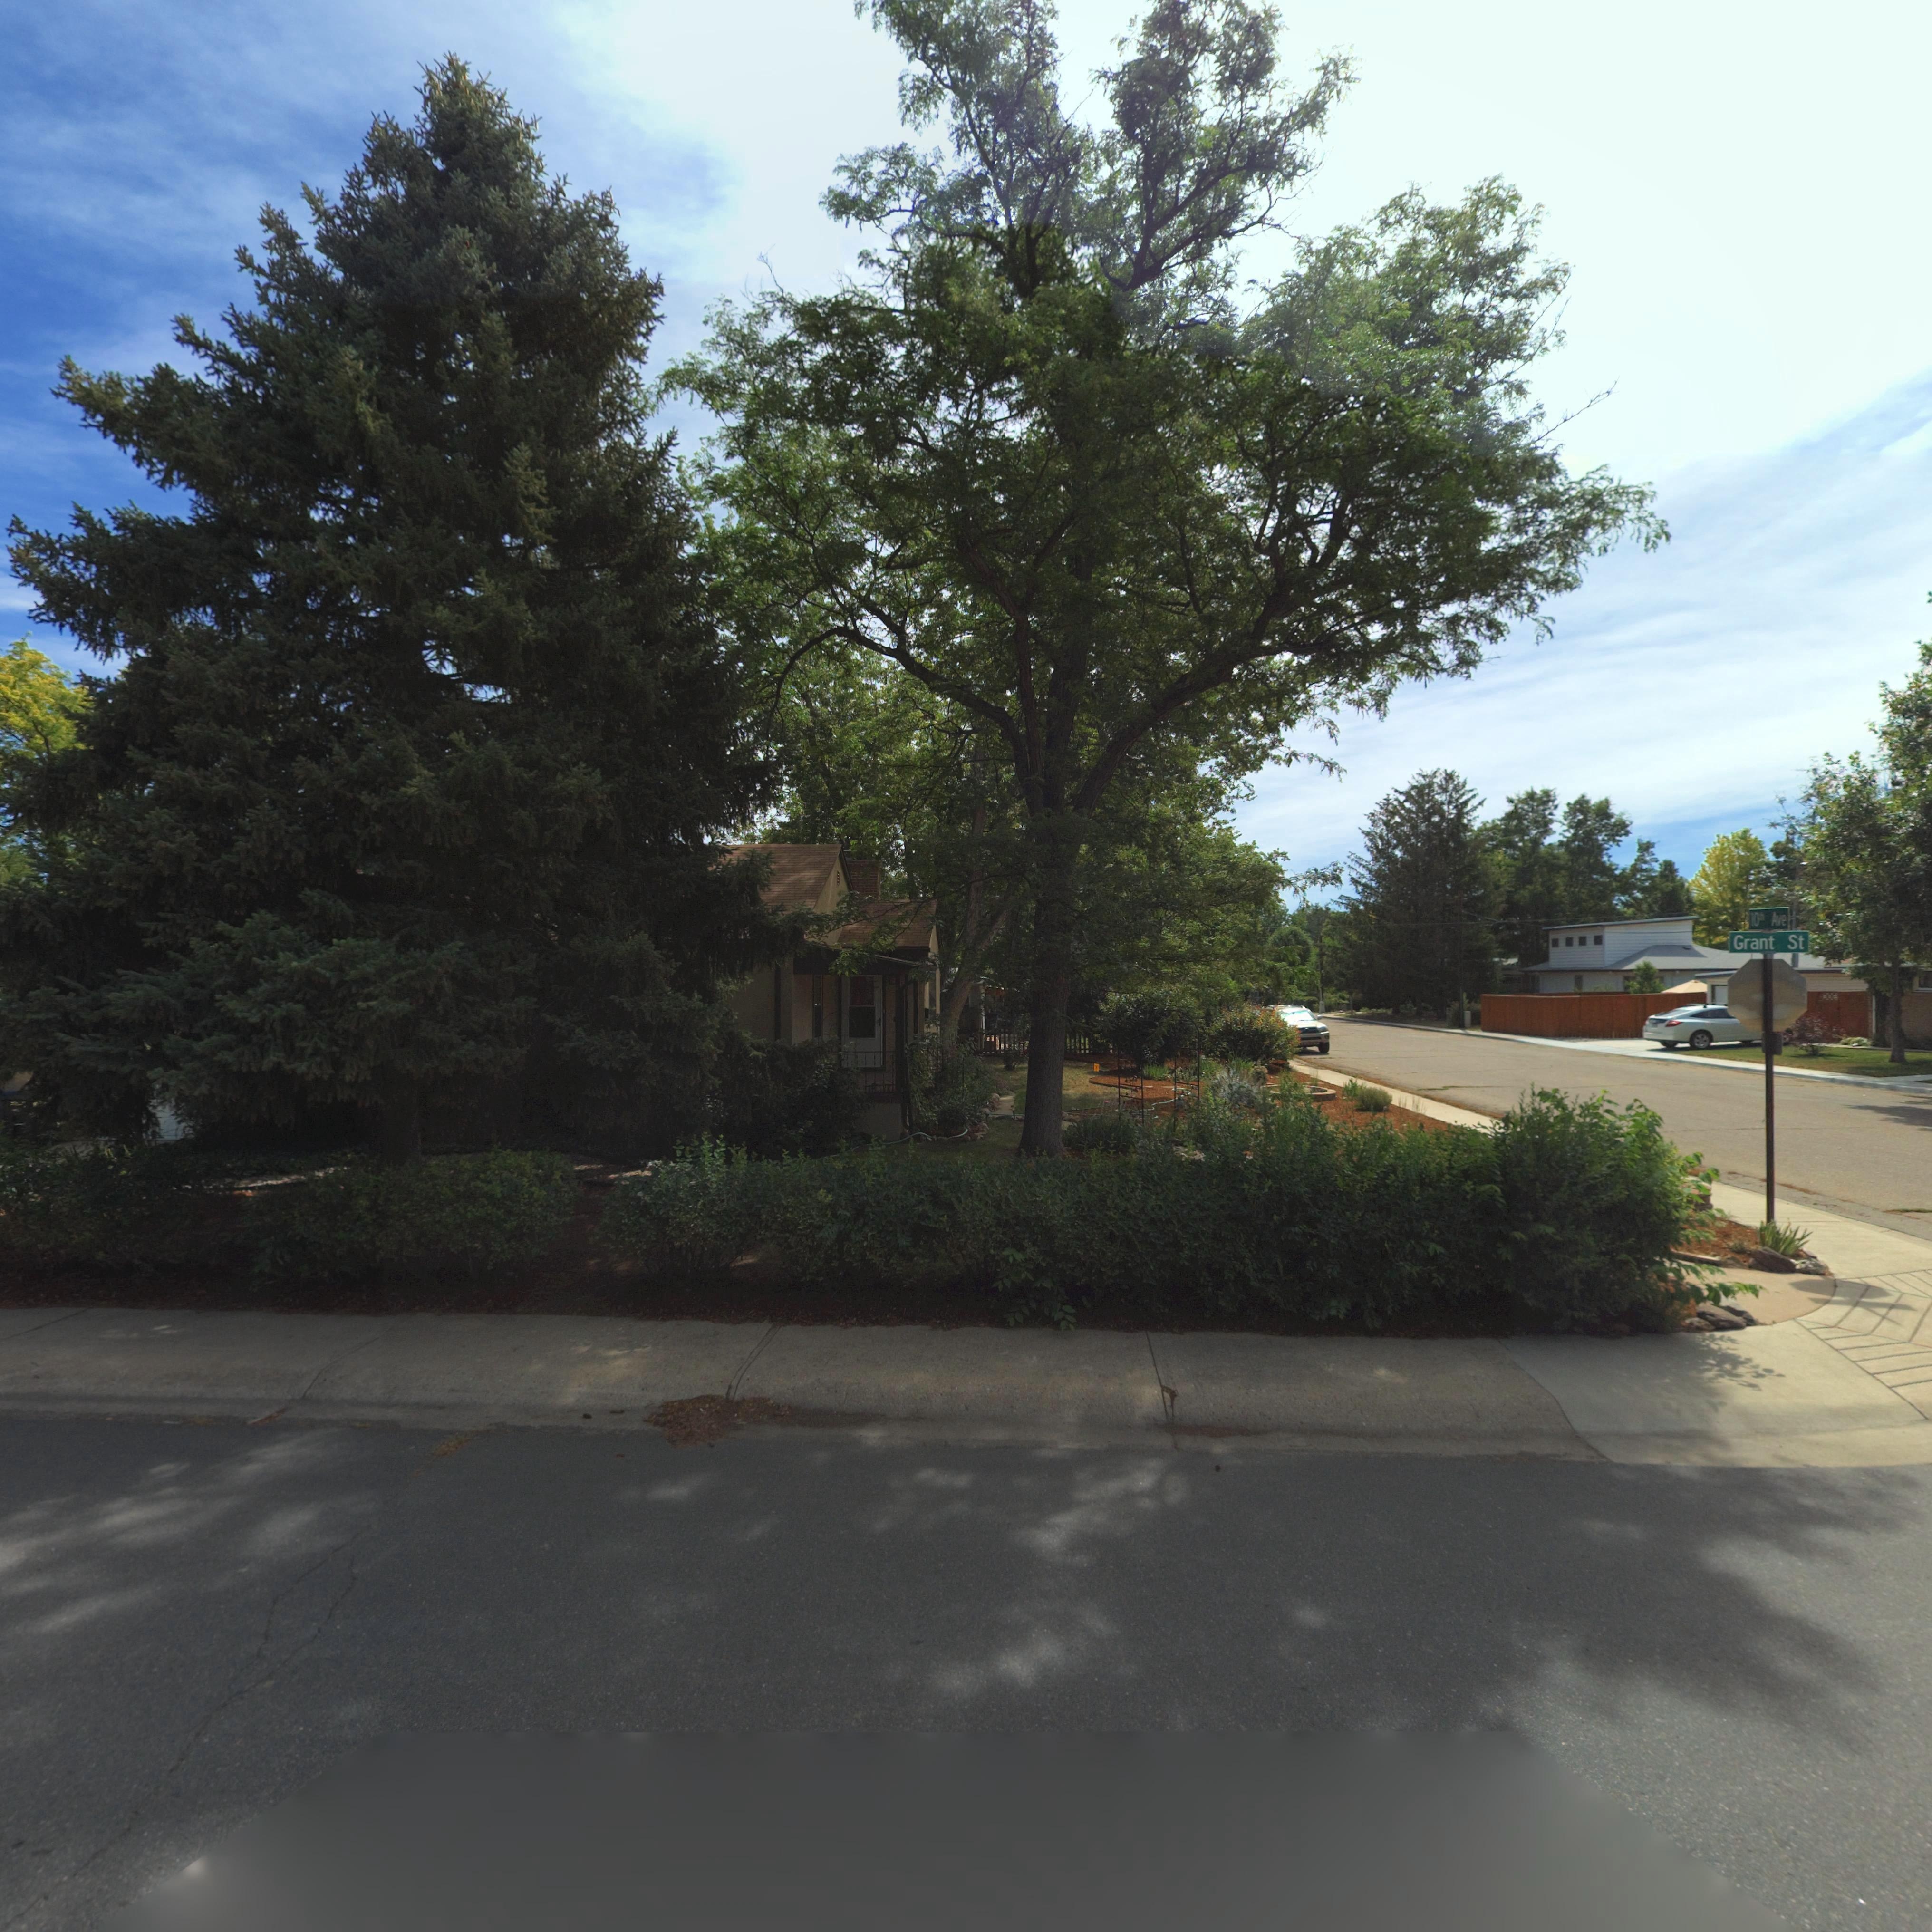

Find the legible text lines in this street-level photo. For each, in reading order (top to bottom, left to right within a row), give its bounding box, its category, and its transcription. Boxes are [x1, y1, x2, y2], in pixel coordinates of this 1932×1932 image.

[1749, 910, 1788, 927] StreetName: 10th Ave
[1732, 934, 1806, 951] StreetName: Grant St